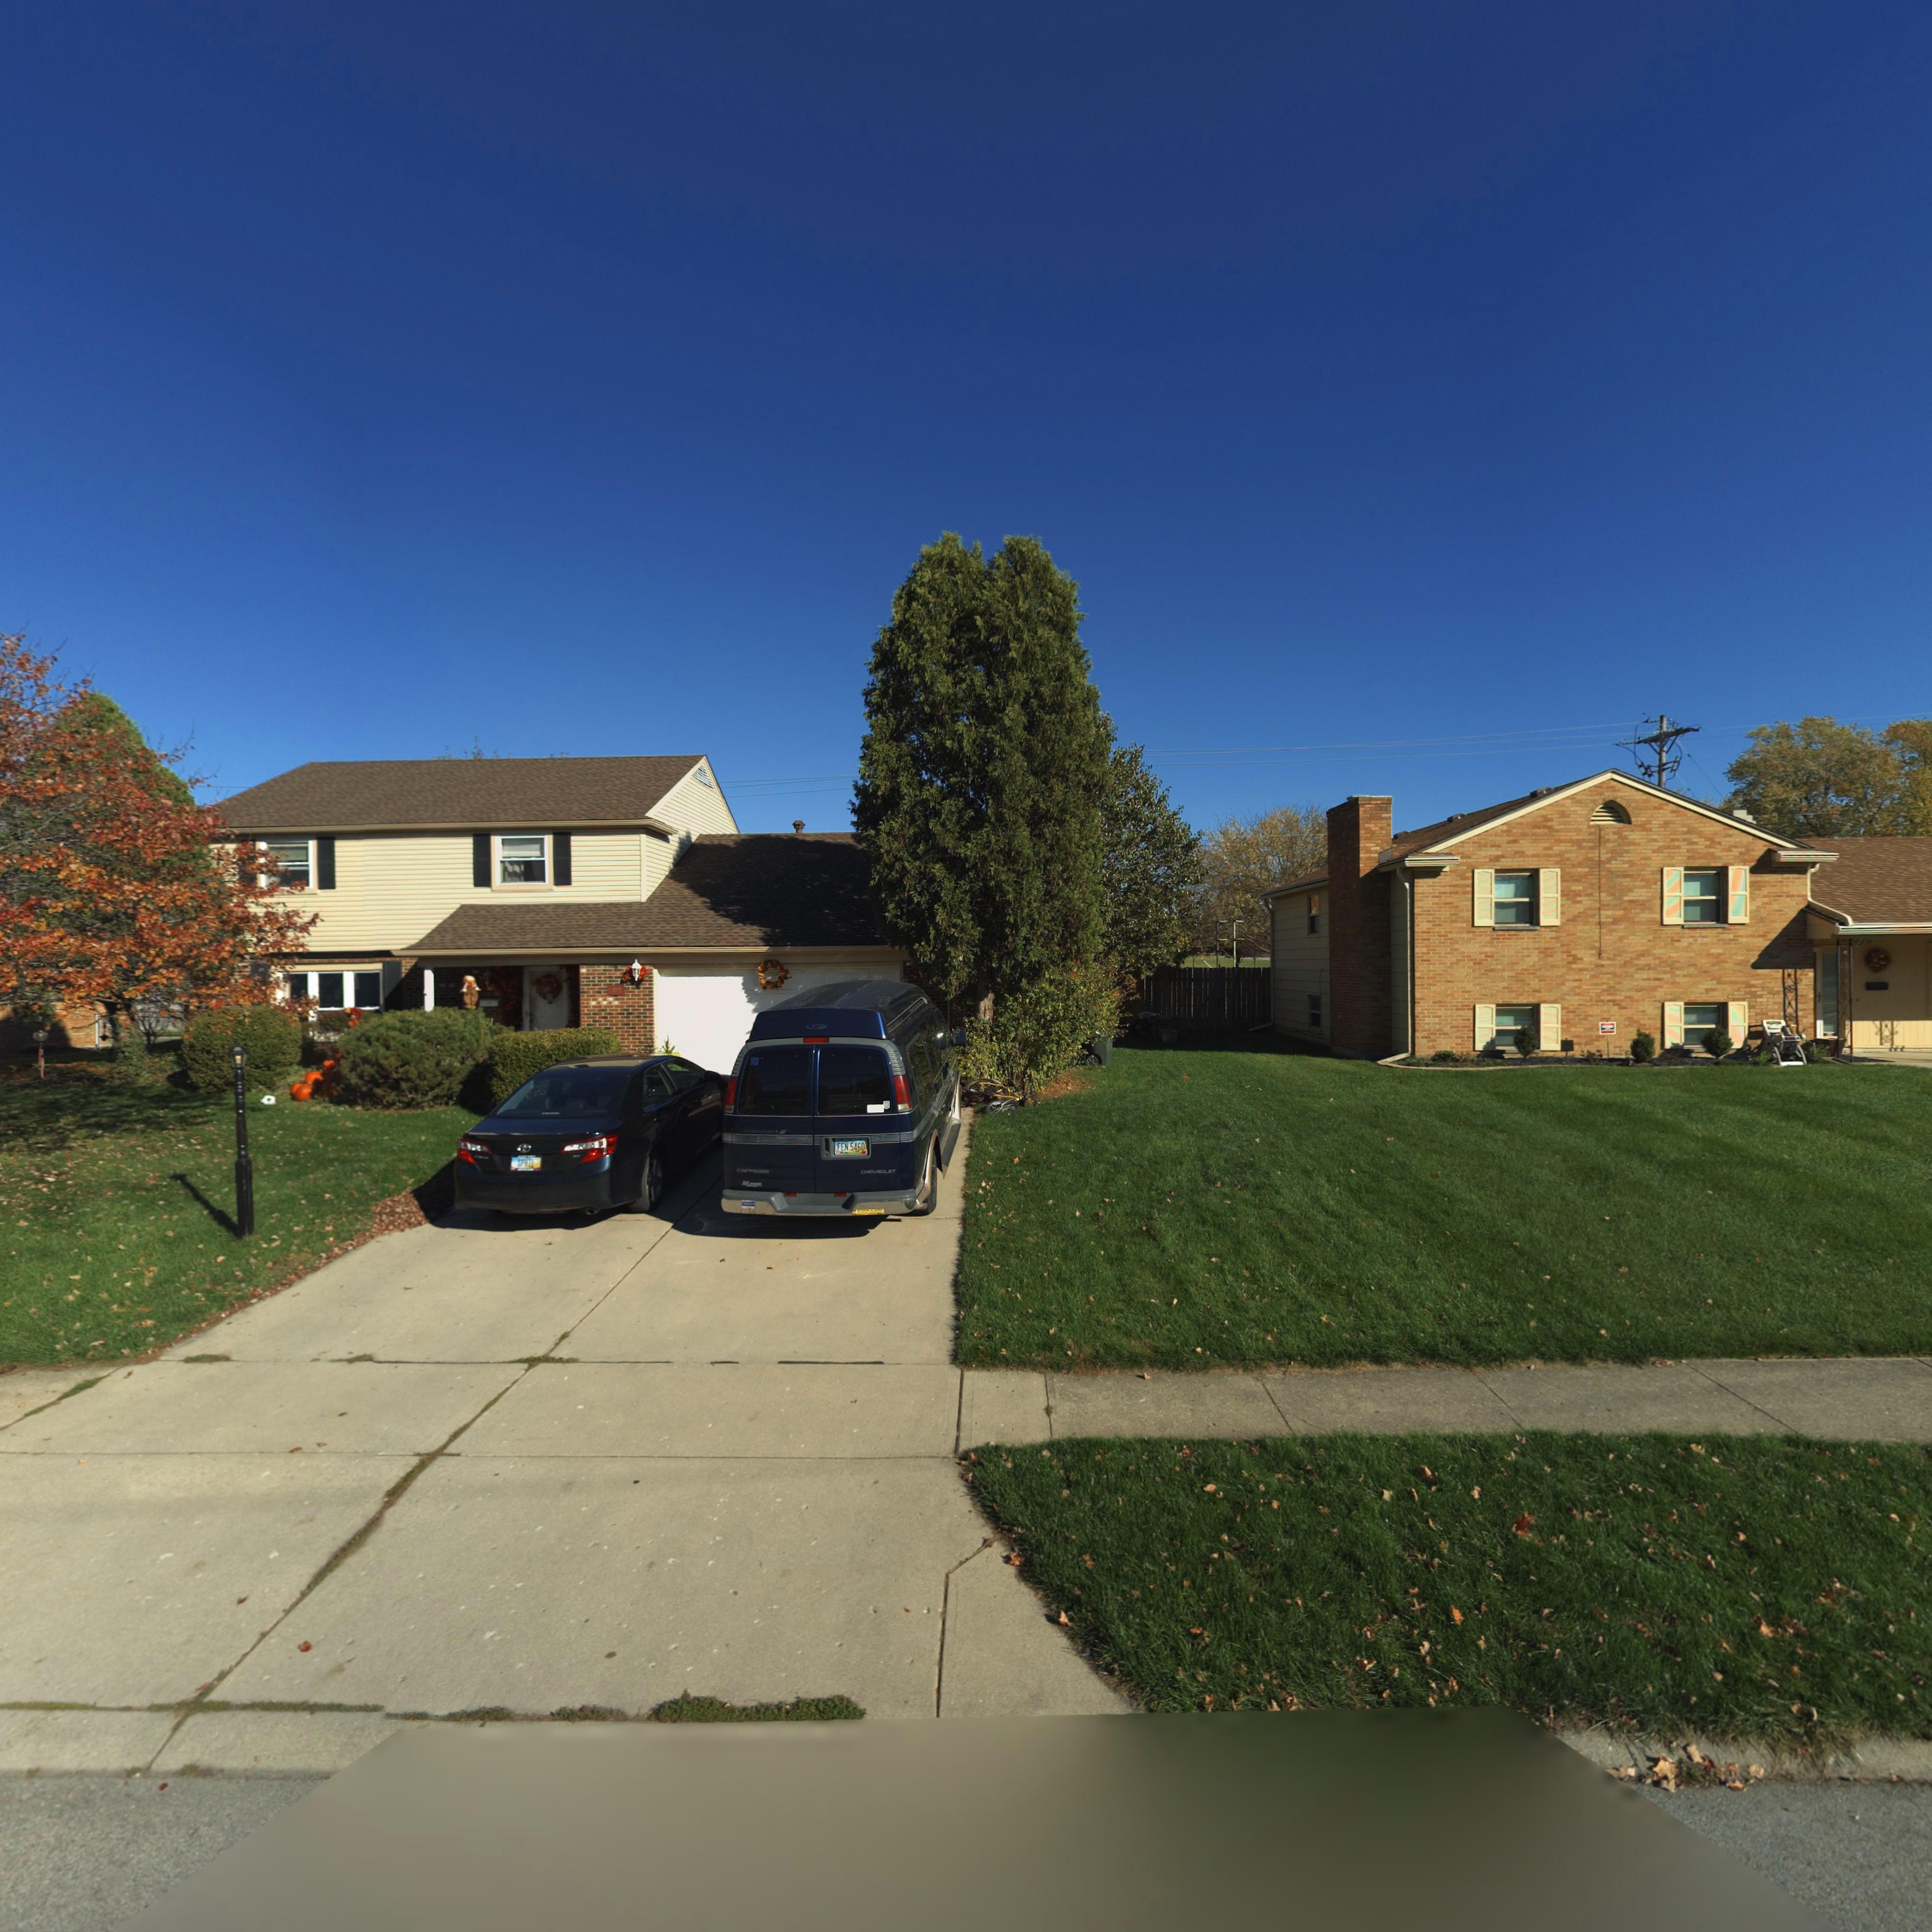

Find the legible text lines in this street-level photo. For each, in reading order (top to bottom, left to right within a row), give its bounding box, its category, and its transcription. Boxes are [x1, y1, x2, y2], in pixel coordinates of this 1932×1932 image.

[611, 986, 622, 993] StreetNumber: 700*